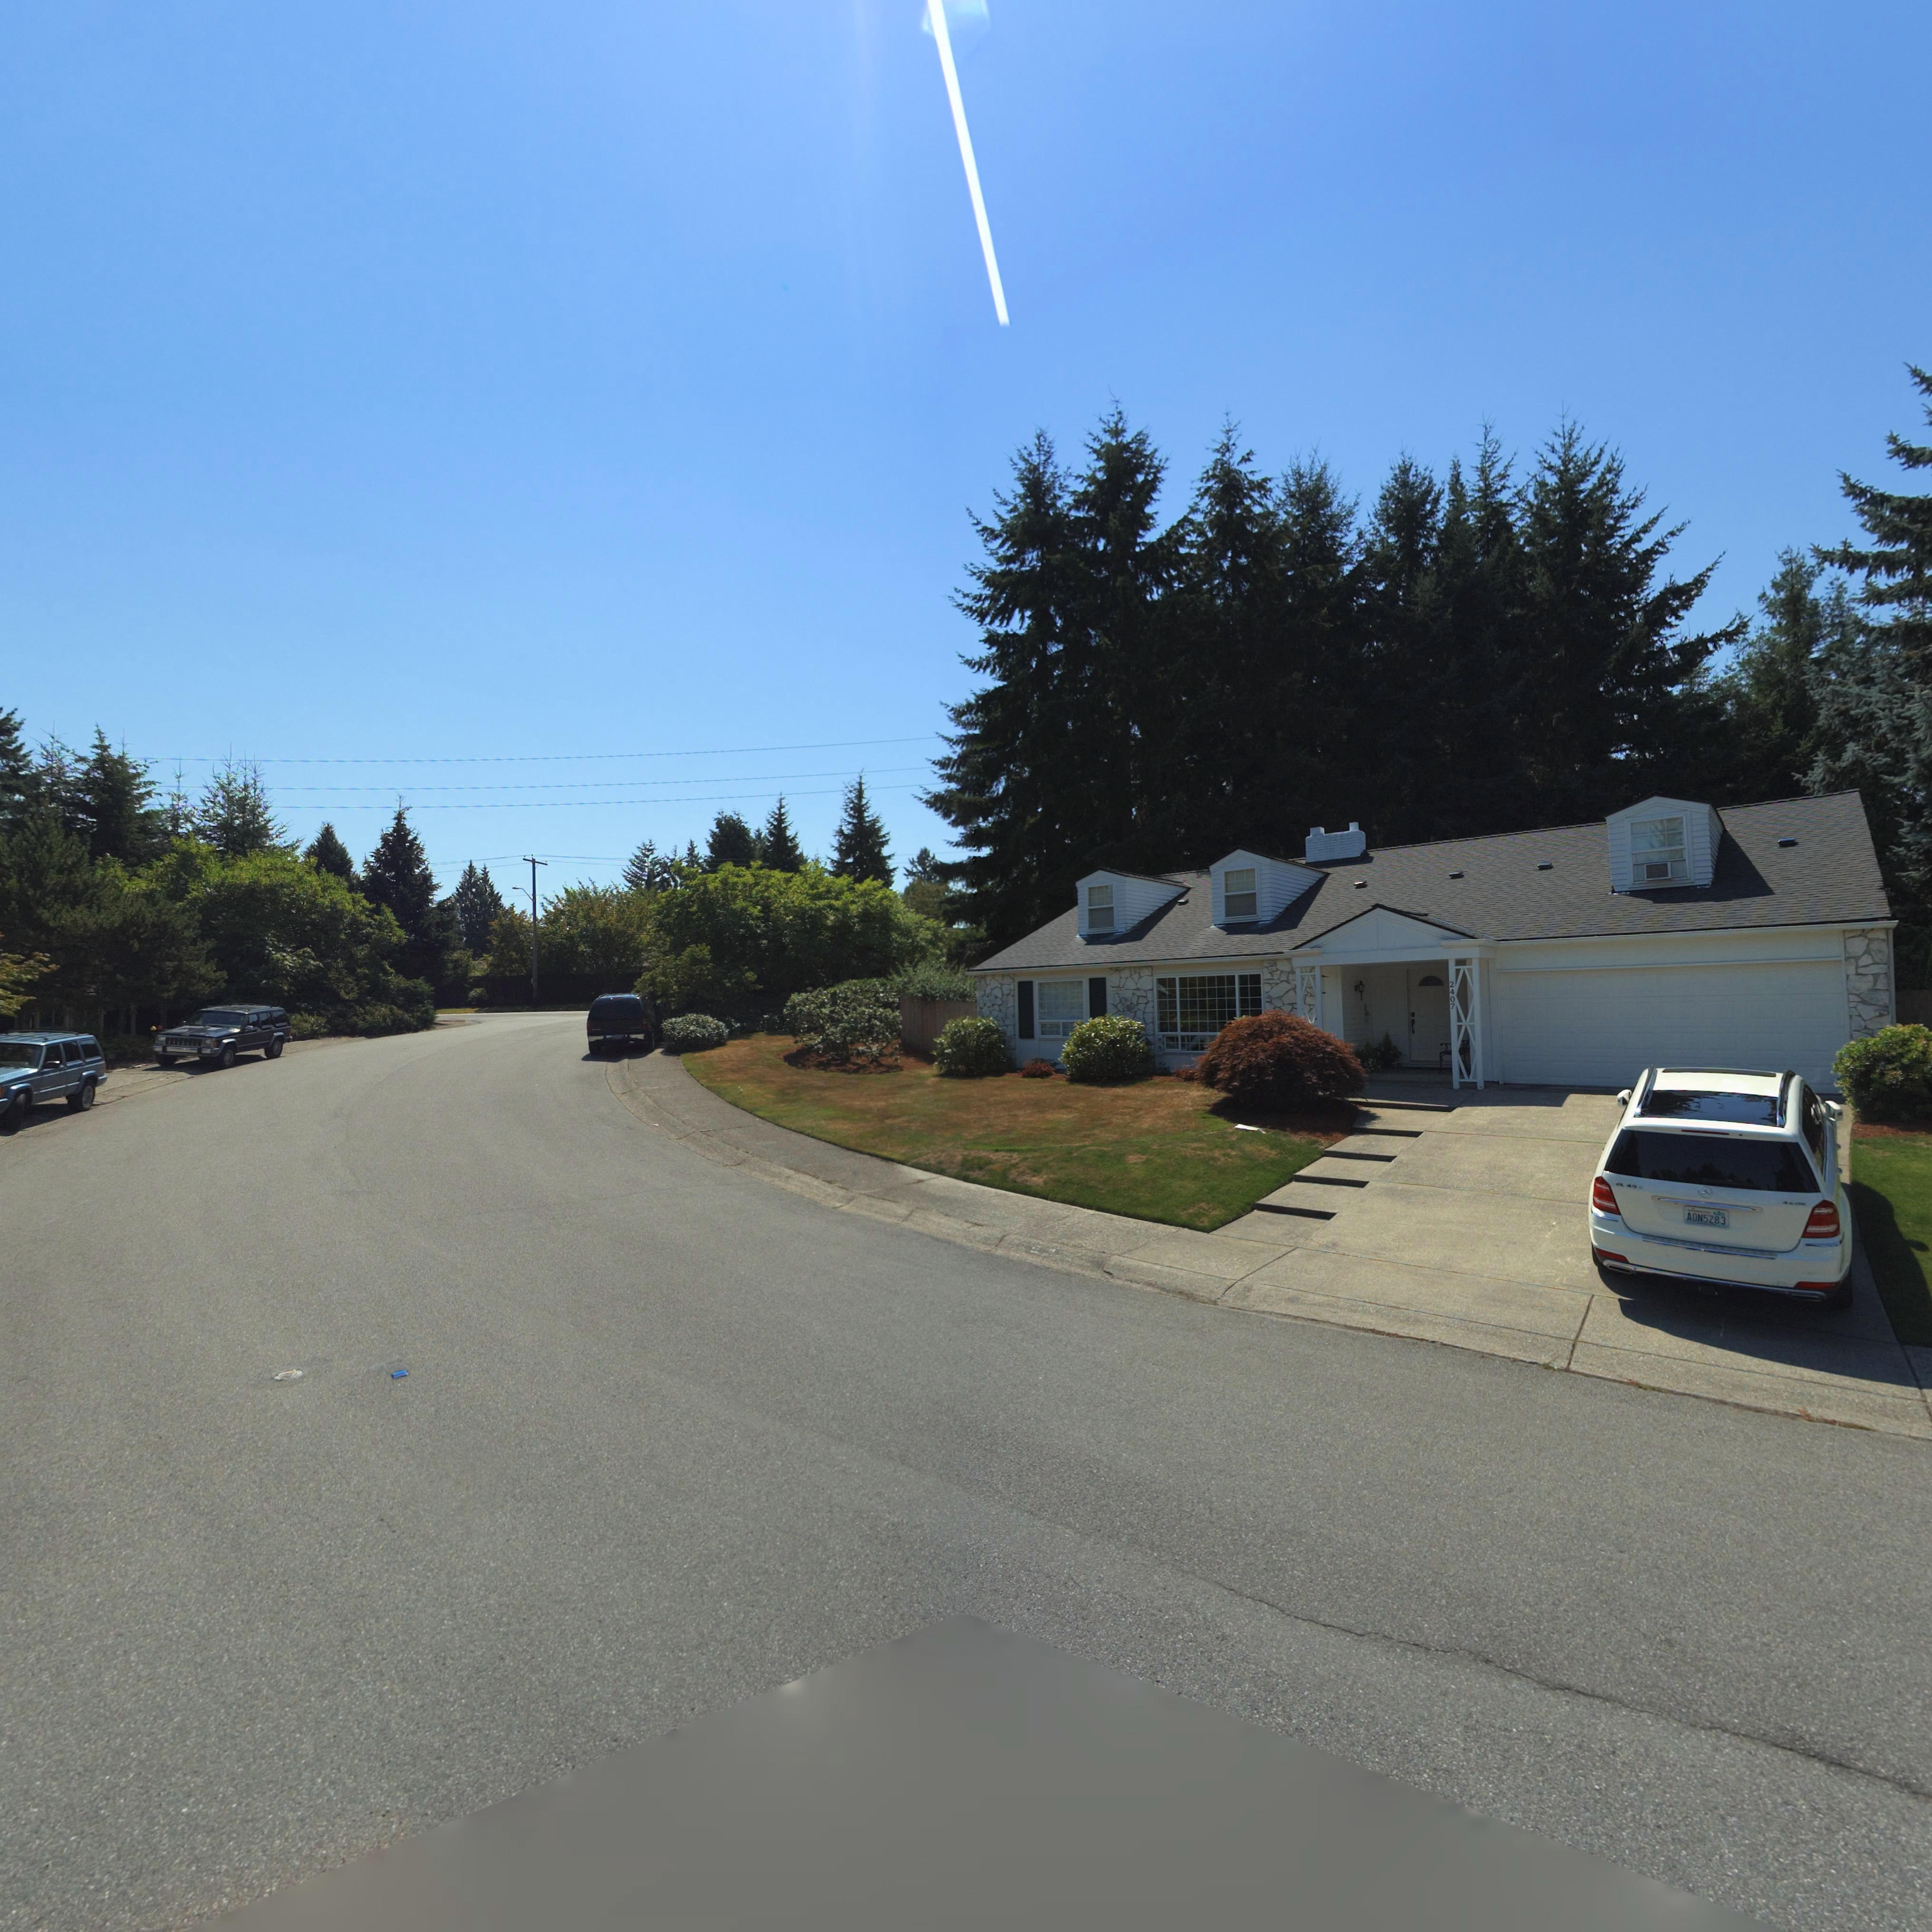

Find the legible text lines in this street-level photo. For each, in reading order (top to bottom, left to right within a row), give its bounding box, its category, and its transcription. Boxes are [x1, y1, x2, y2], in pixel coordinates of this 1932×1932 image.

[1449, 980, 1456, 1010] StreetNumber: 2407